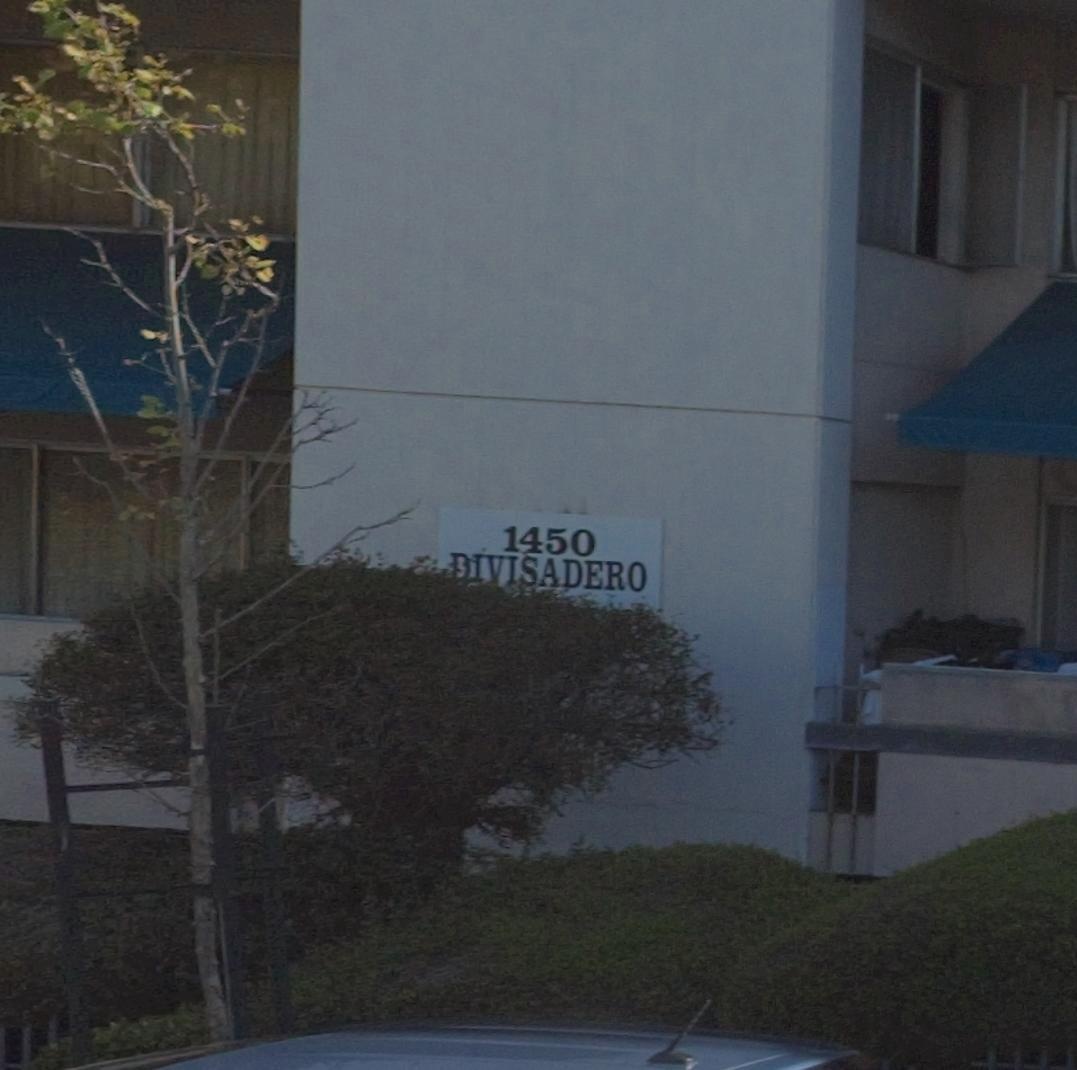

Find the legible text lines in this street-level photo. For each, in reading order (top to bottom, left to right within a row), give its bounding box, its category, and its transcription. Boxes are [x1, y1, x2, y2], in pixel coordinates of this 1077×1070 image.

[503, 523, 596, 557] StreetNumber: 1450
[447, 551, 648, 594] StreetName: DIVISADERO